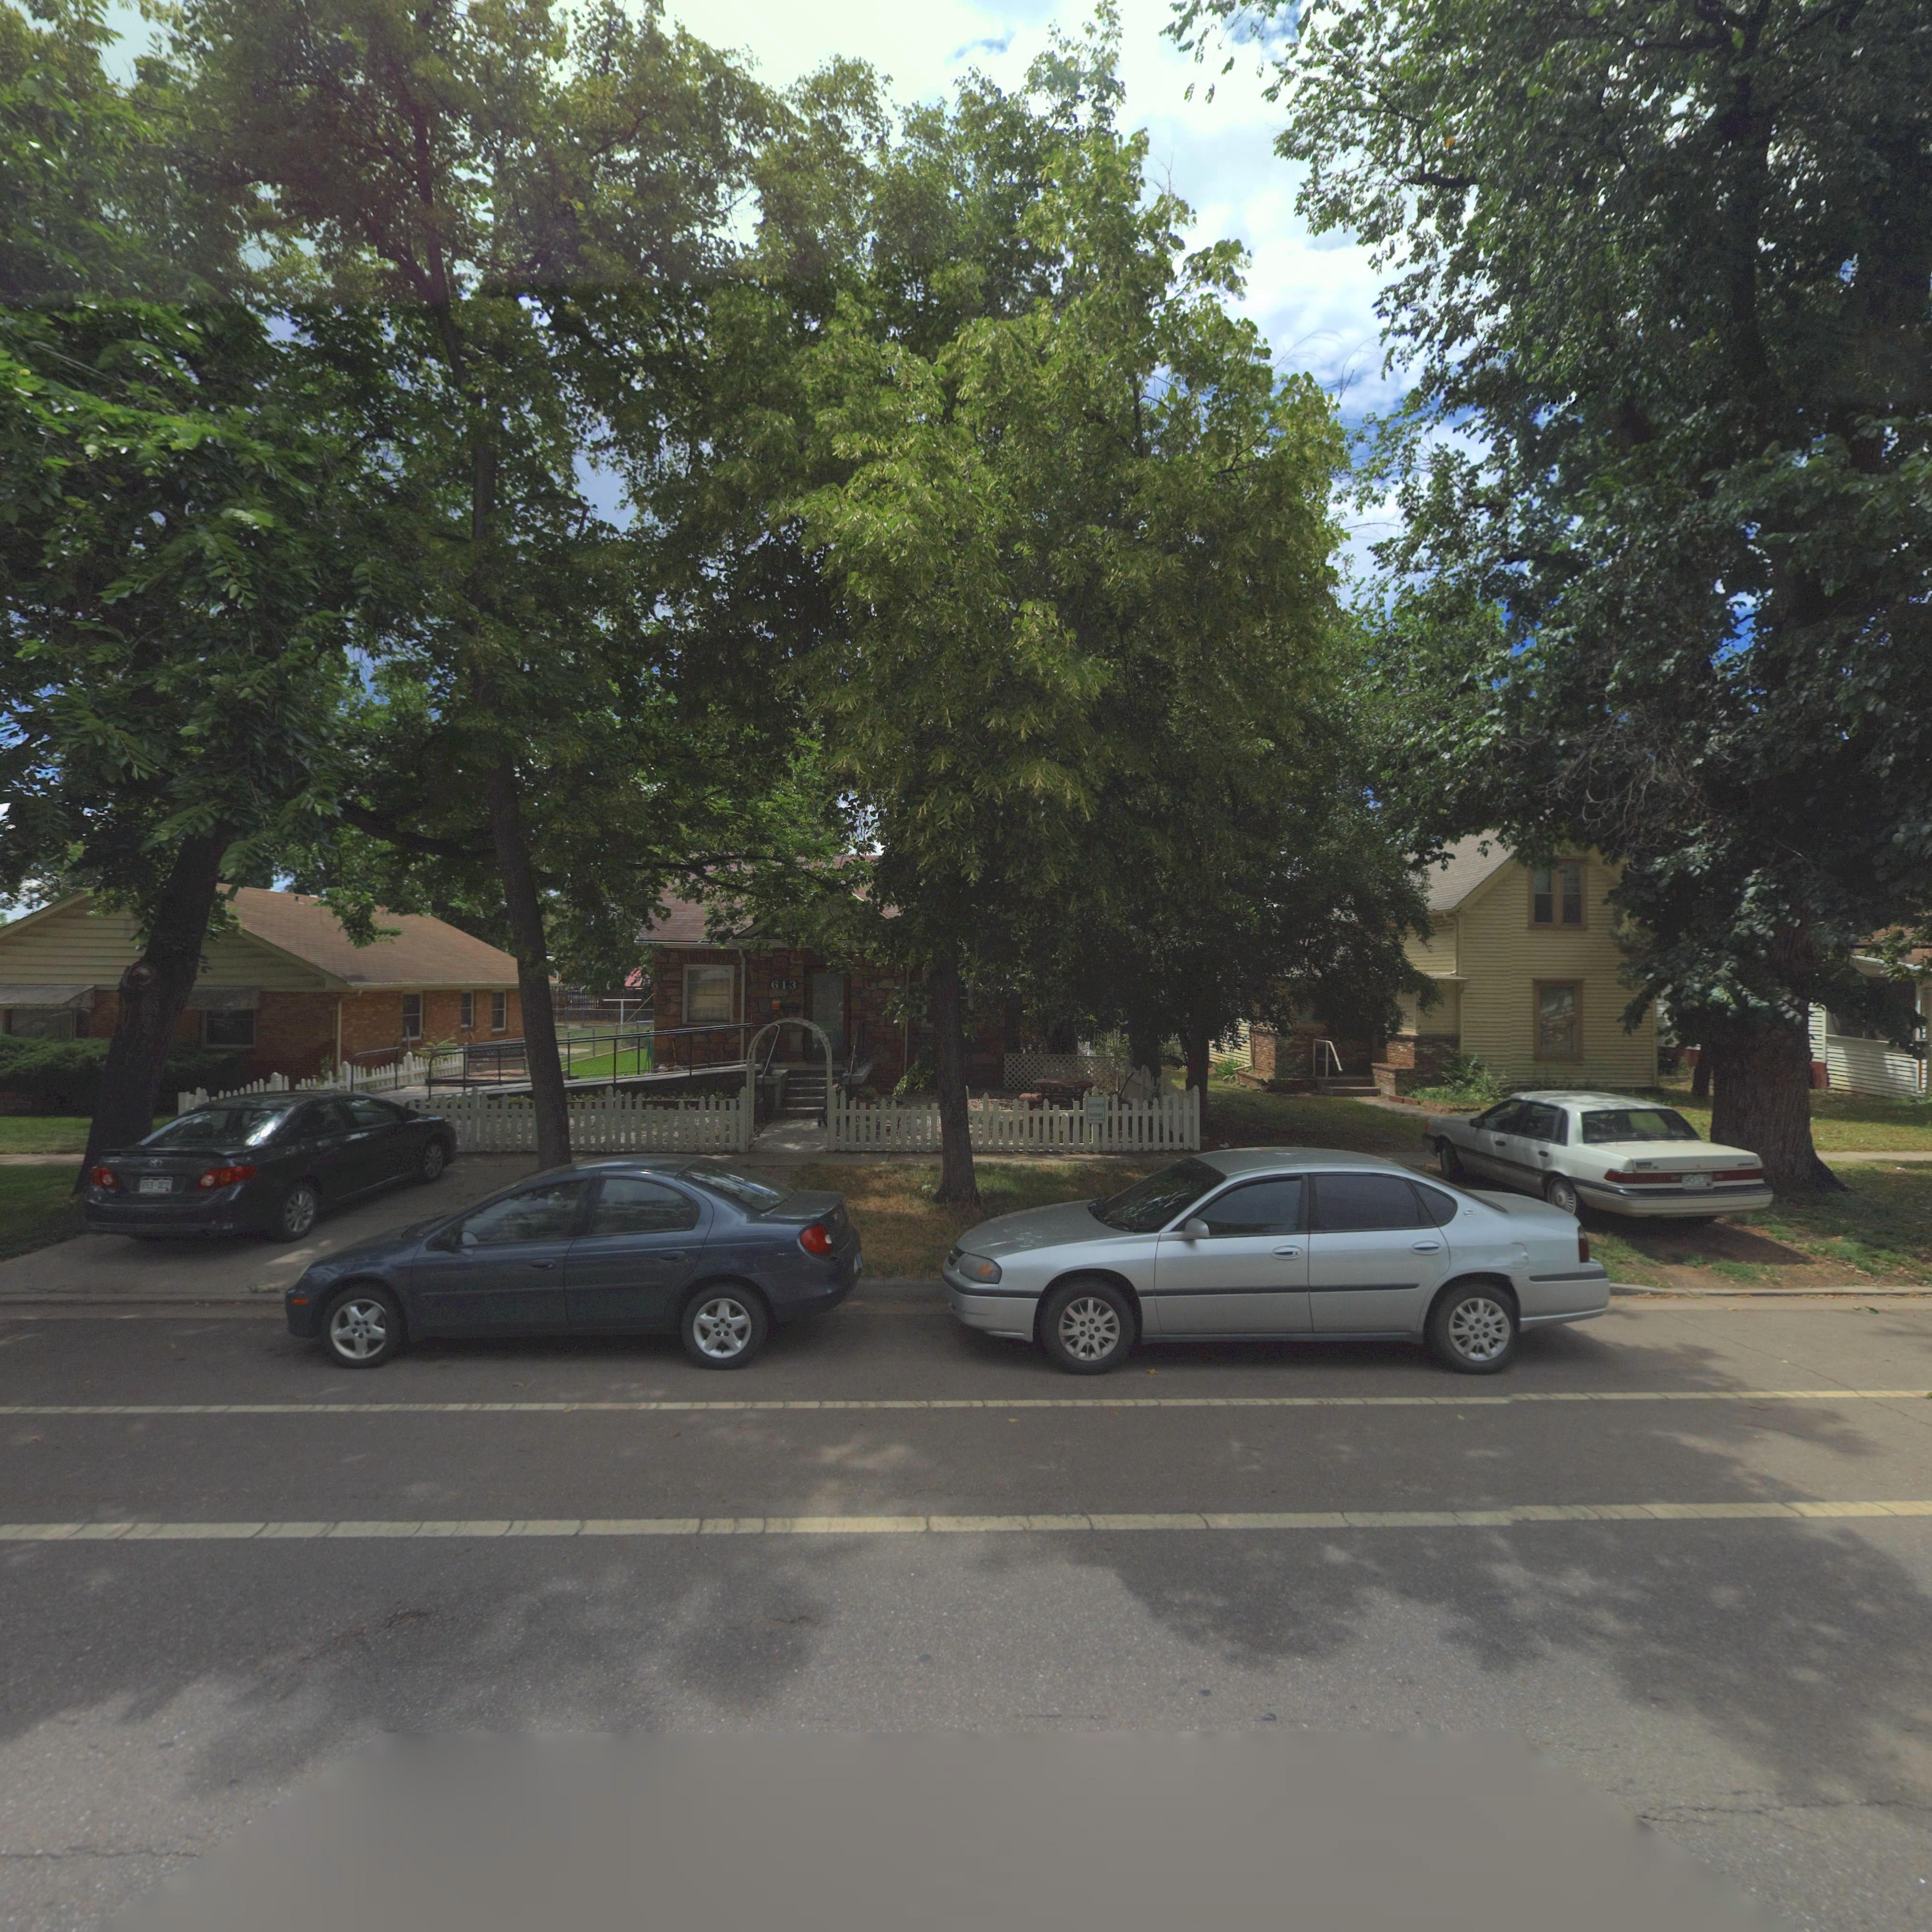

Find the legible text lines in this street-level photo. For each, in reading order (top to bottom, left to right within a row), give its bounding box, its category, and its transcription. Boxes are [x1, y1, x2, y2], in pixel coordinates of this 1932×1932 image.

[771, 980, 796, 989] StreetNumber: 613